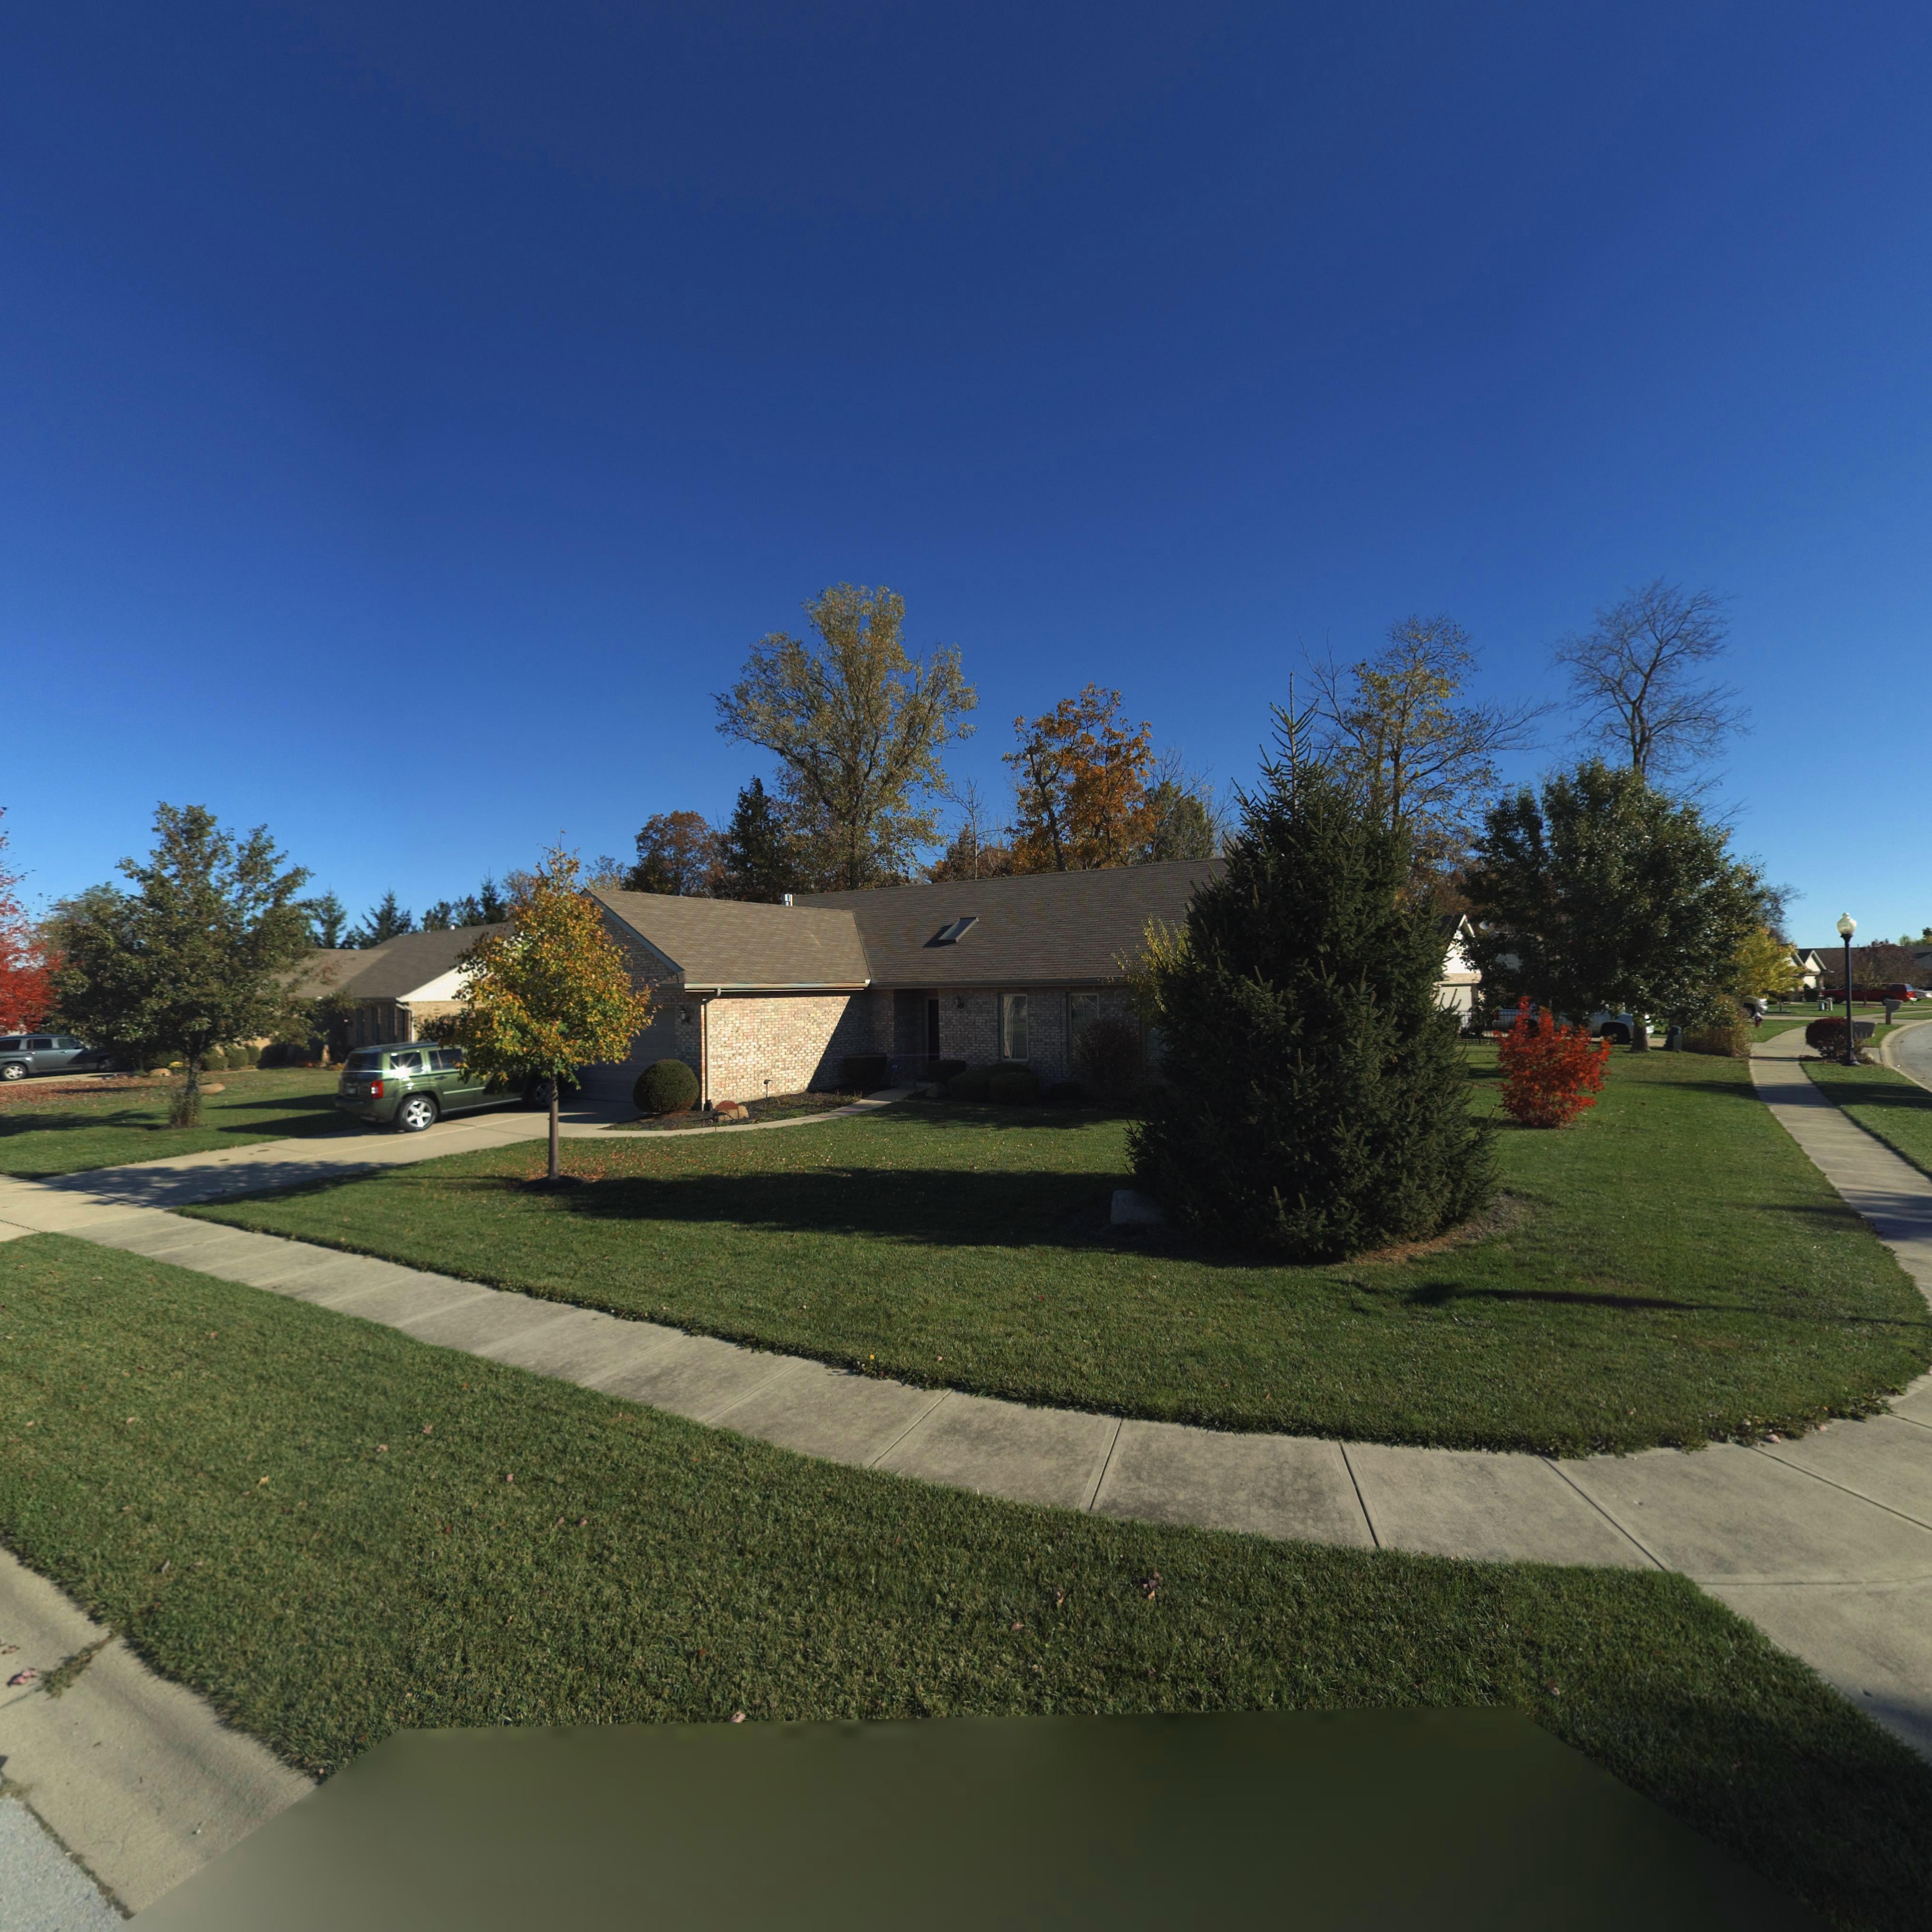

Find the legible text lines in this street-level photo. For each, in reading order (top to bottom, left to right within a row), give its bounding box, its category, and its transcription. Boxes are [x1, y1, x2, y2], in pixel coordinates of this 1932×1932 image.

[684, 1046, 692, 1052] StreetNumber: 171